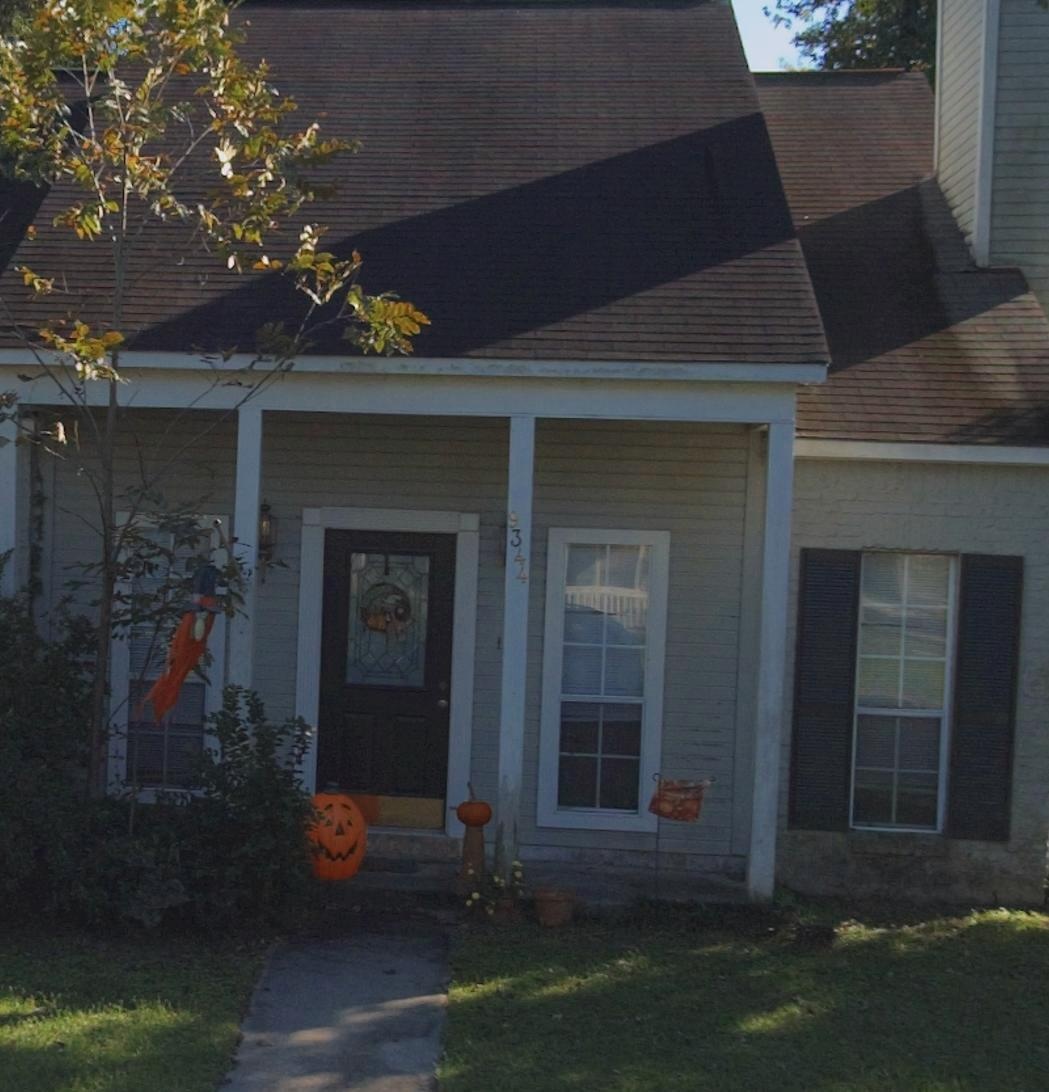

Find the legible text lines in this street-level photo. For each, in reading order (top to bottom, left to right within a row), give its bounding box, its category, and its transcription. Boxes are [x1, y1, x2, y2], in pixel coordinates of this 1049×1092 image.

[508, 511, 529, 584] StreetNumber: 9344